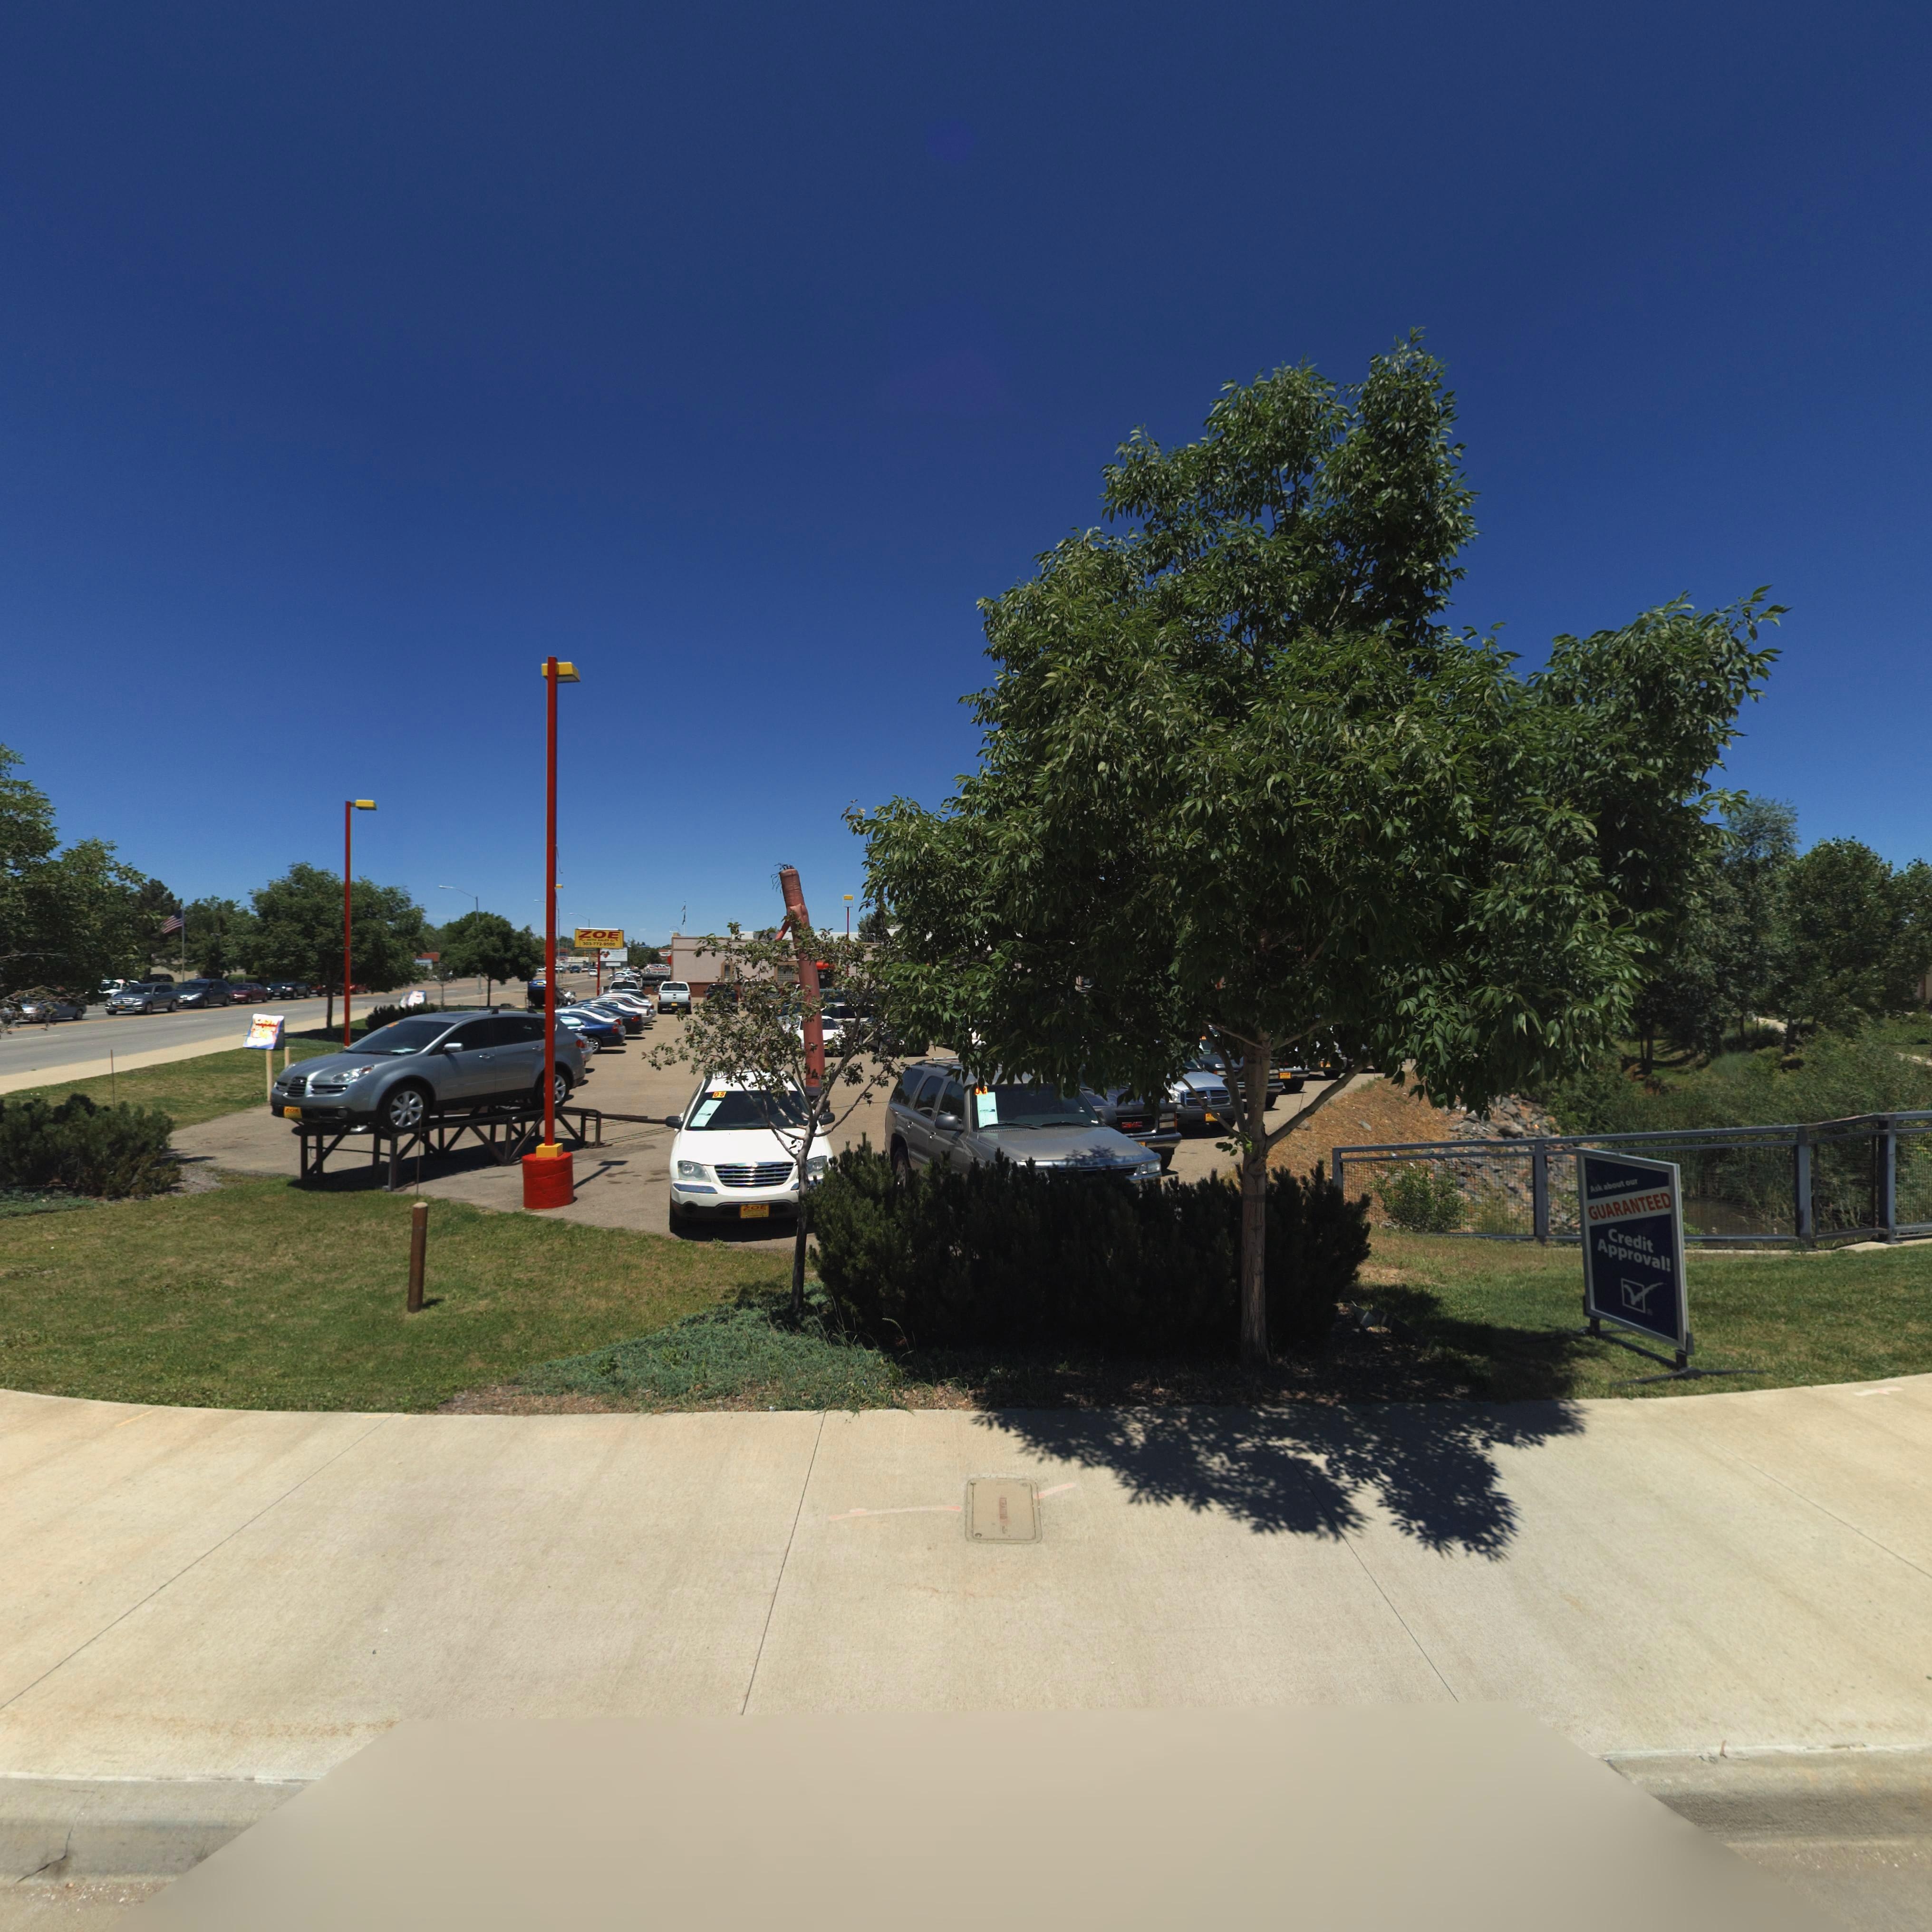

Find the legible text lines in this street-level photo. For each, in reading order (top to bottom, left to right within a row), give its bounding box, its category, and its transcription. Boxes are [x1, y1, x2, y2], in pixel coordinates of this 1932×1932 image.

[578, 930, 620, 939] BusinessName: ZOE
[587, 938, 609, 941] None: ***O **LES
[651, 967, 669, 970] BusinessName: *ON****T
[651, 971, 669, 973] None: **** S******